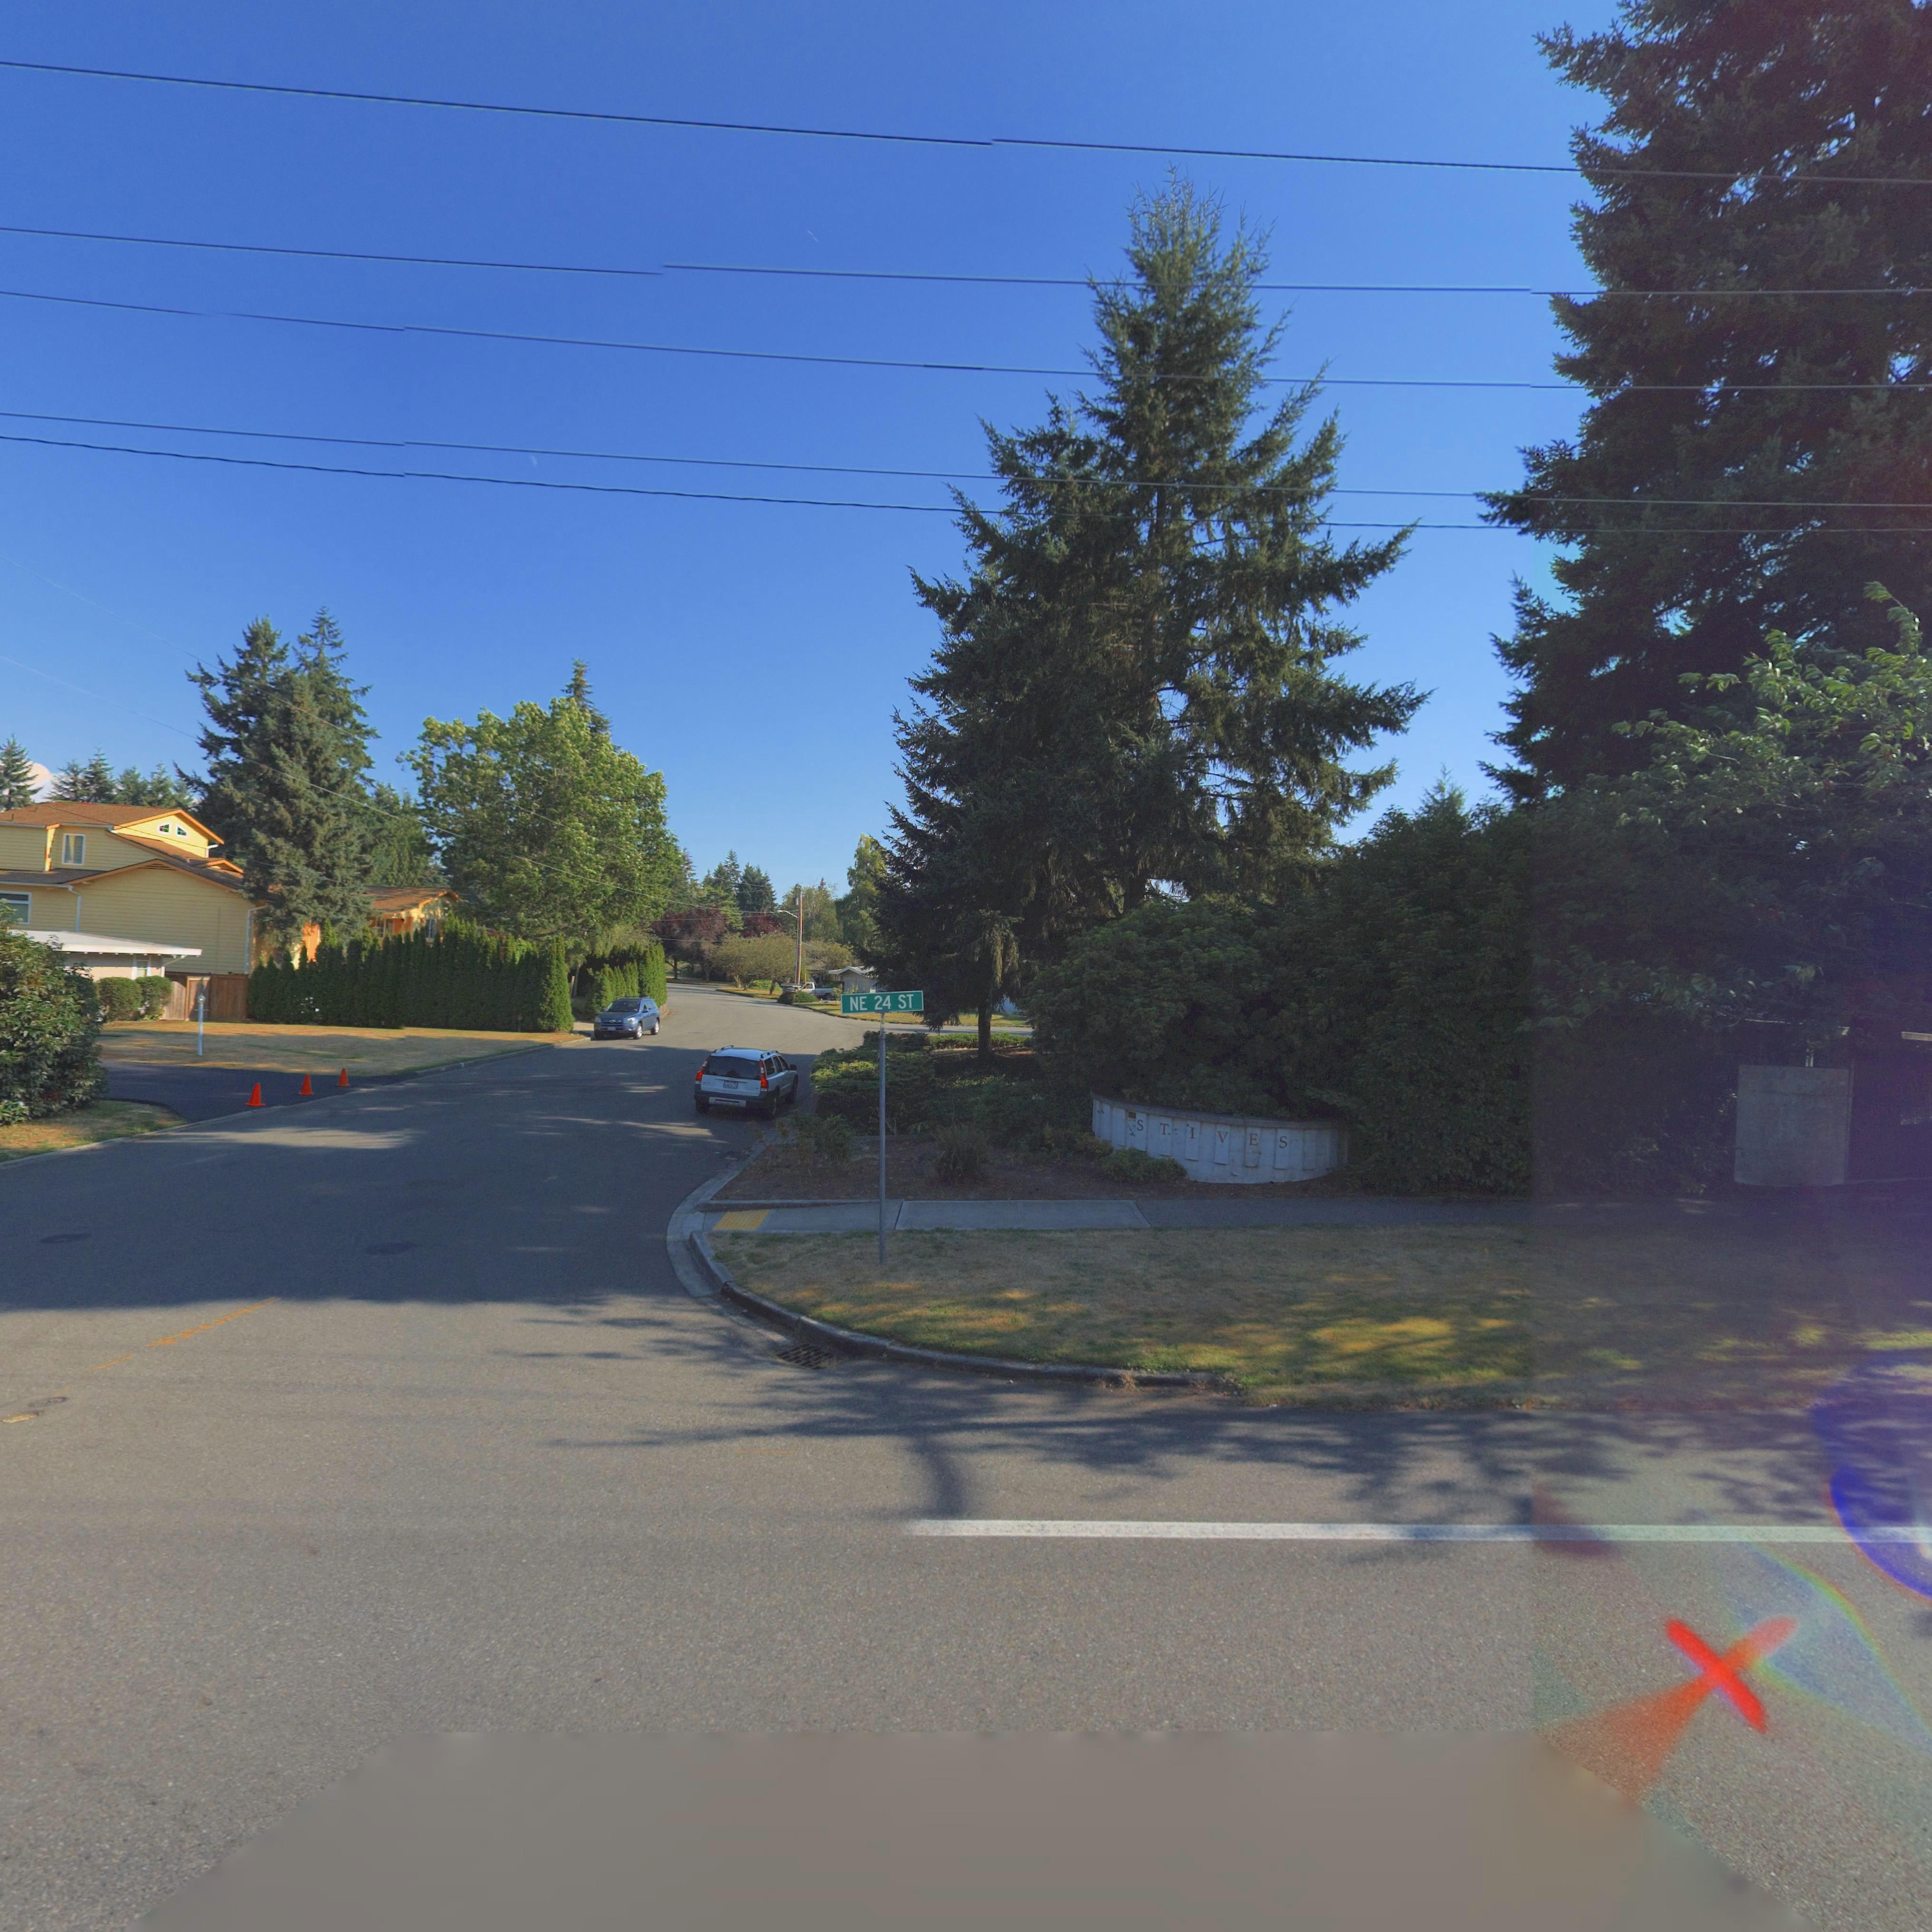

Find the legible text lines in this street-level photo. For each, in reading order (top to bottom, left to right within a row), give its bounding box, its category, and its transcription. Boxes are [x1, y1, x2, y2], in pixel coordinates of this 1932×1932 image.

[850, 994, 914, 1012] StreetName: NE 24 SST